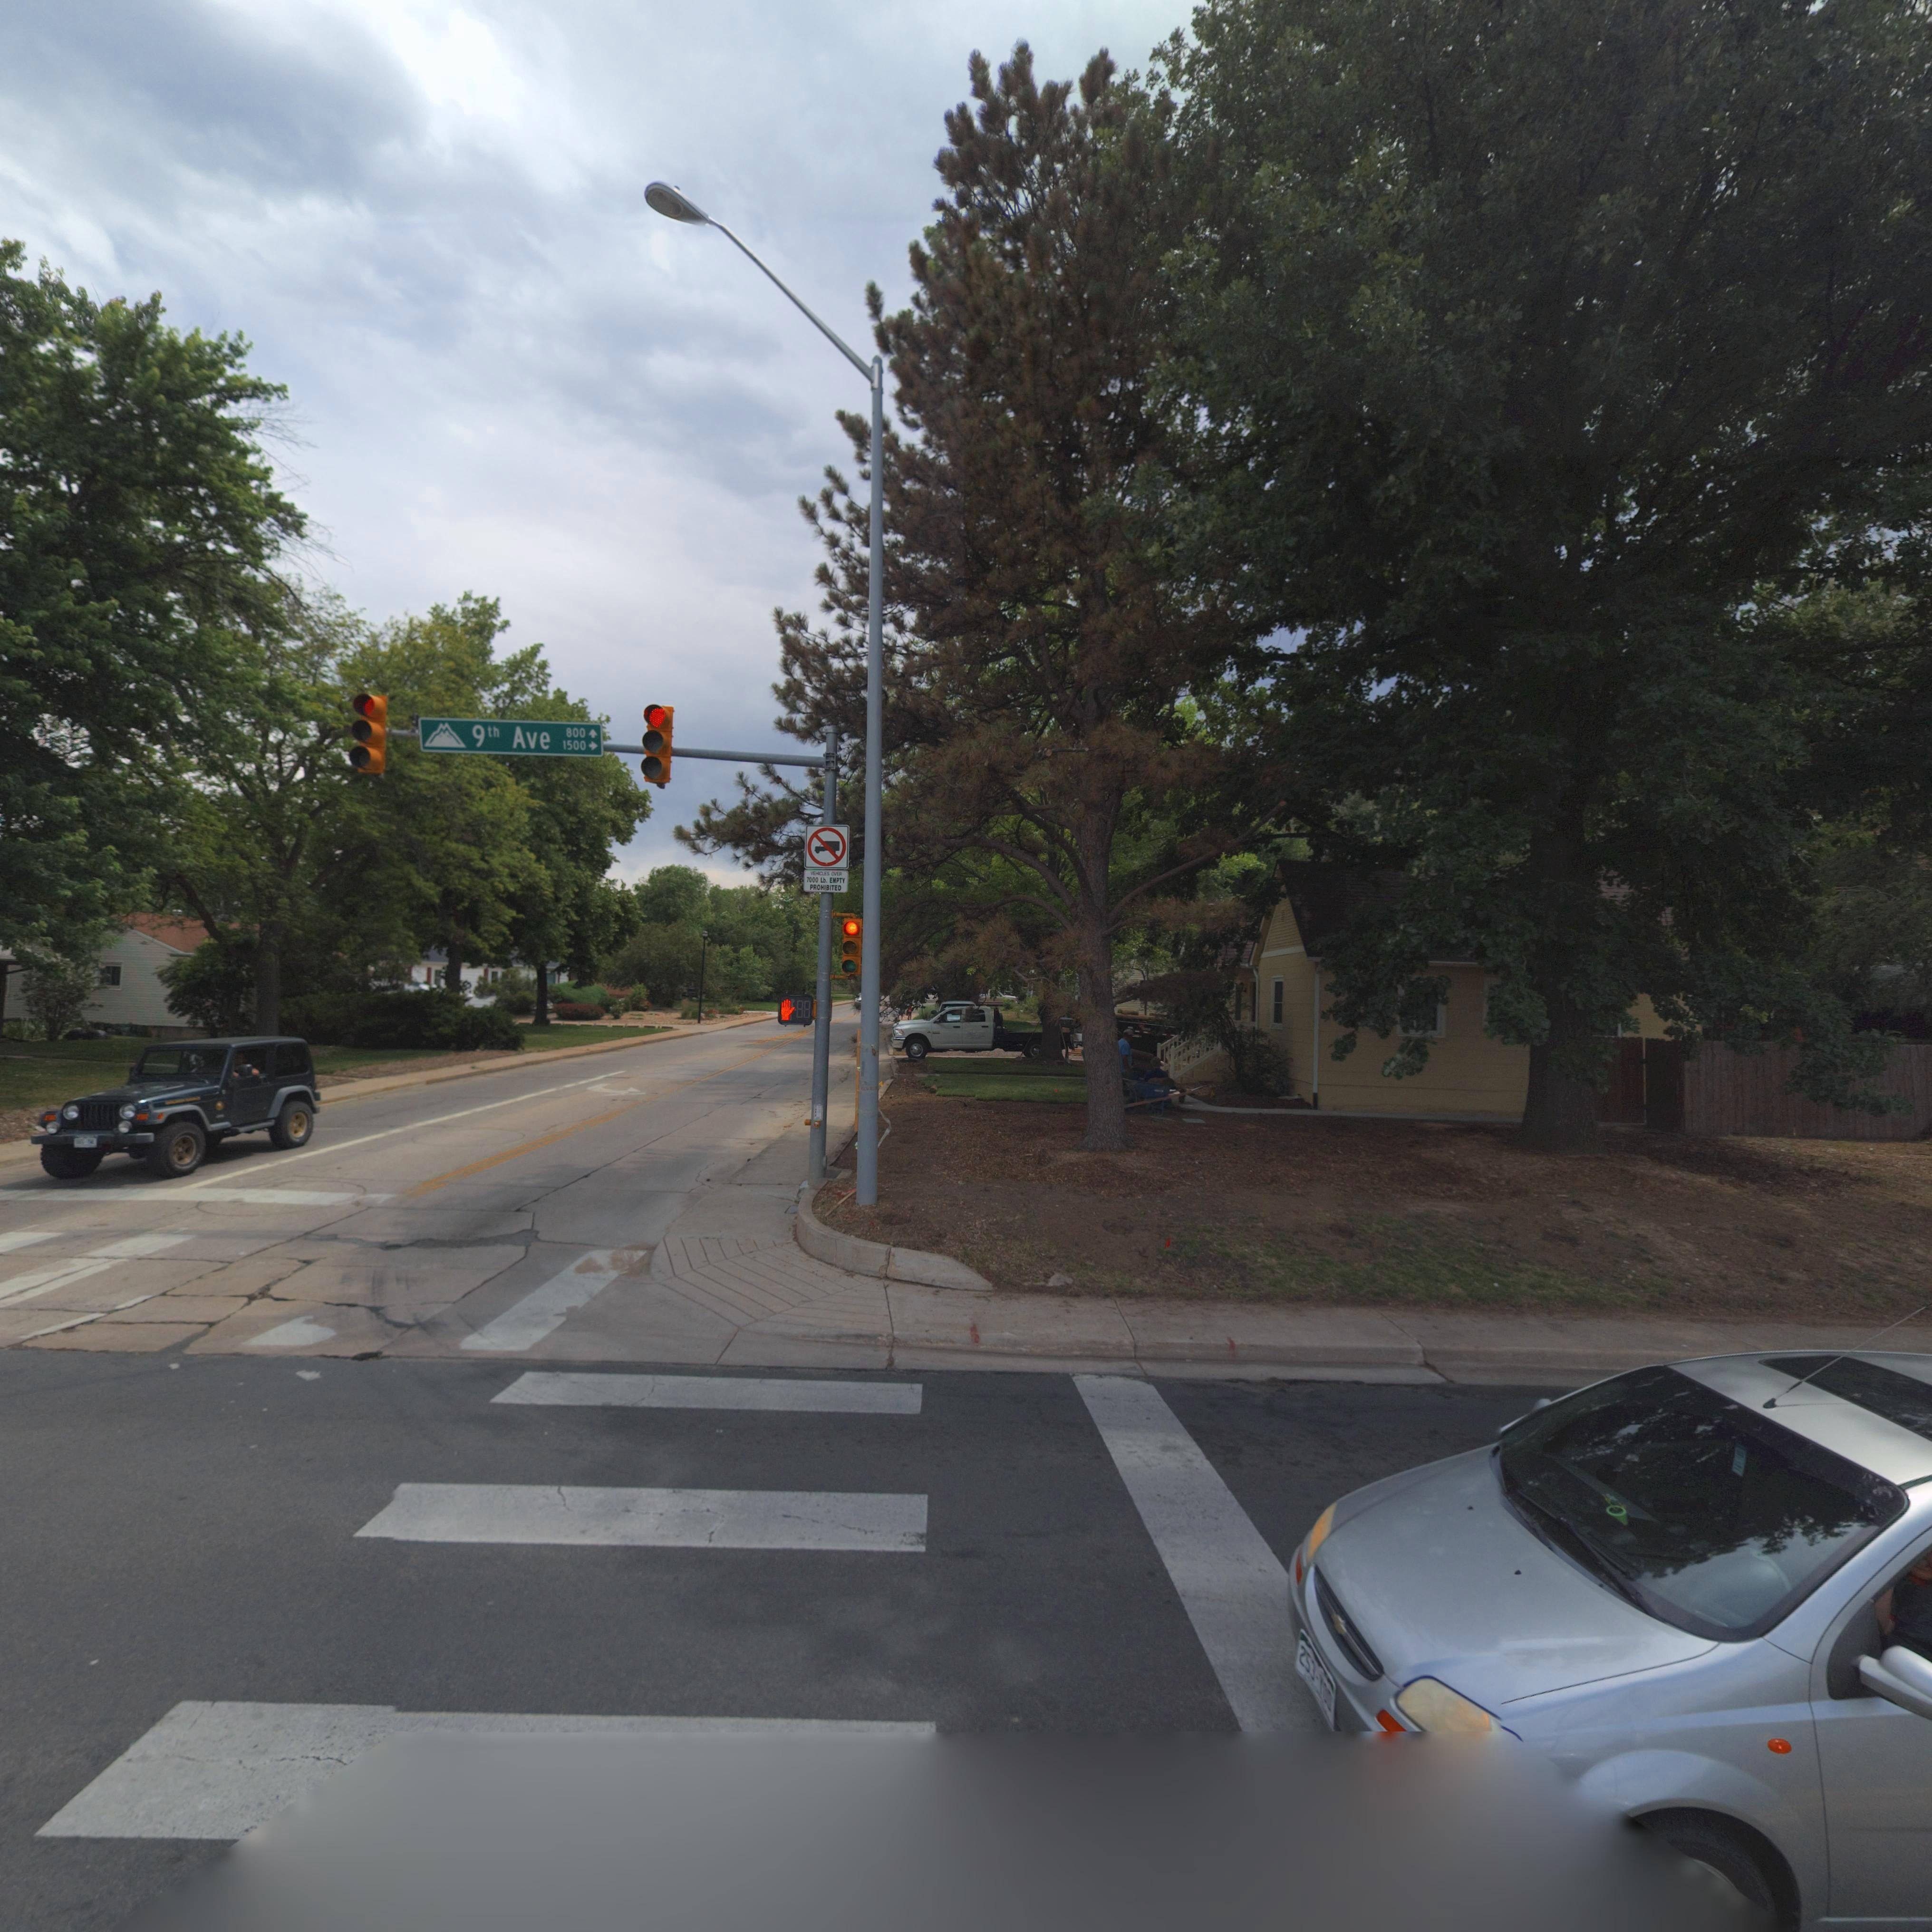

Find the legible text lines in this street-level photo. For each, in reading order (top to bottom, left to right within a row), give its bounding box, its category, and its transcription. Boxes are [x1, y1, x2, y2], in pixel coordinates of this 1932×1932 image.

[471, 724, 551, 751] StreetName: 9th Ave
[565, 727, 586, 738] StreetNumberRange: 800
[562, 739, 598, 750] StreetNumberRange: 1500 ->